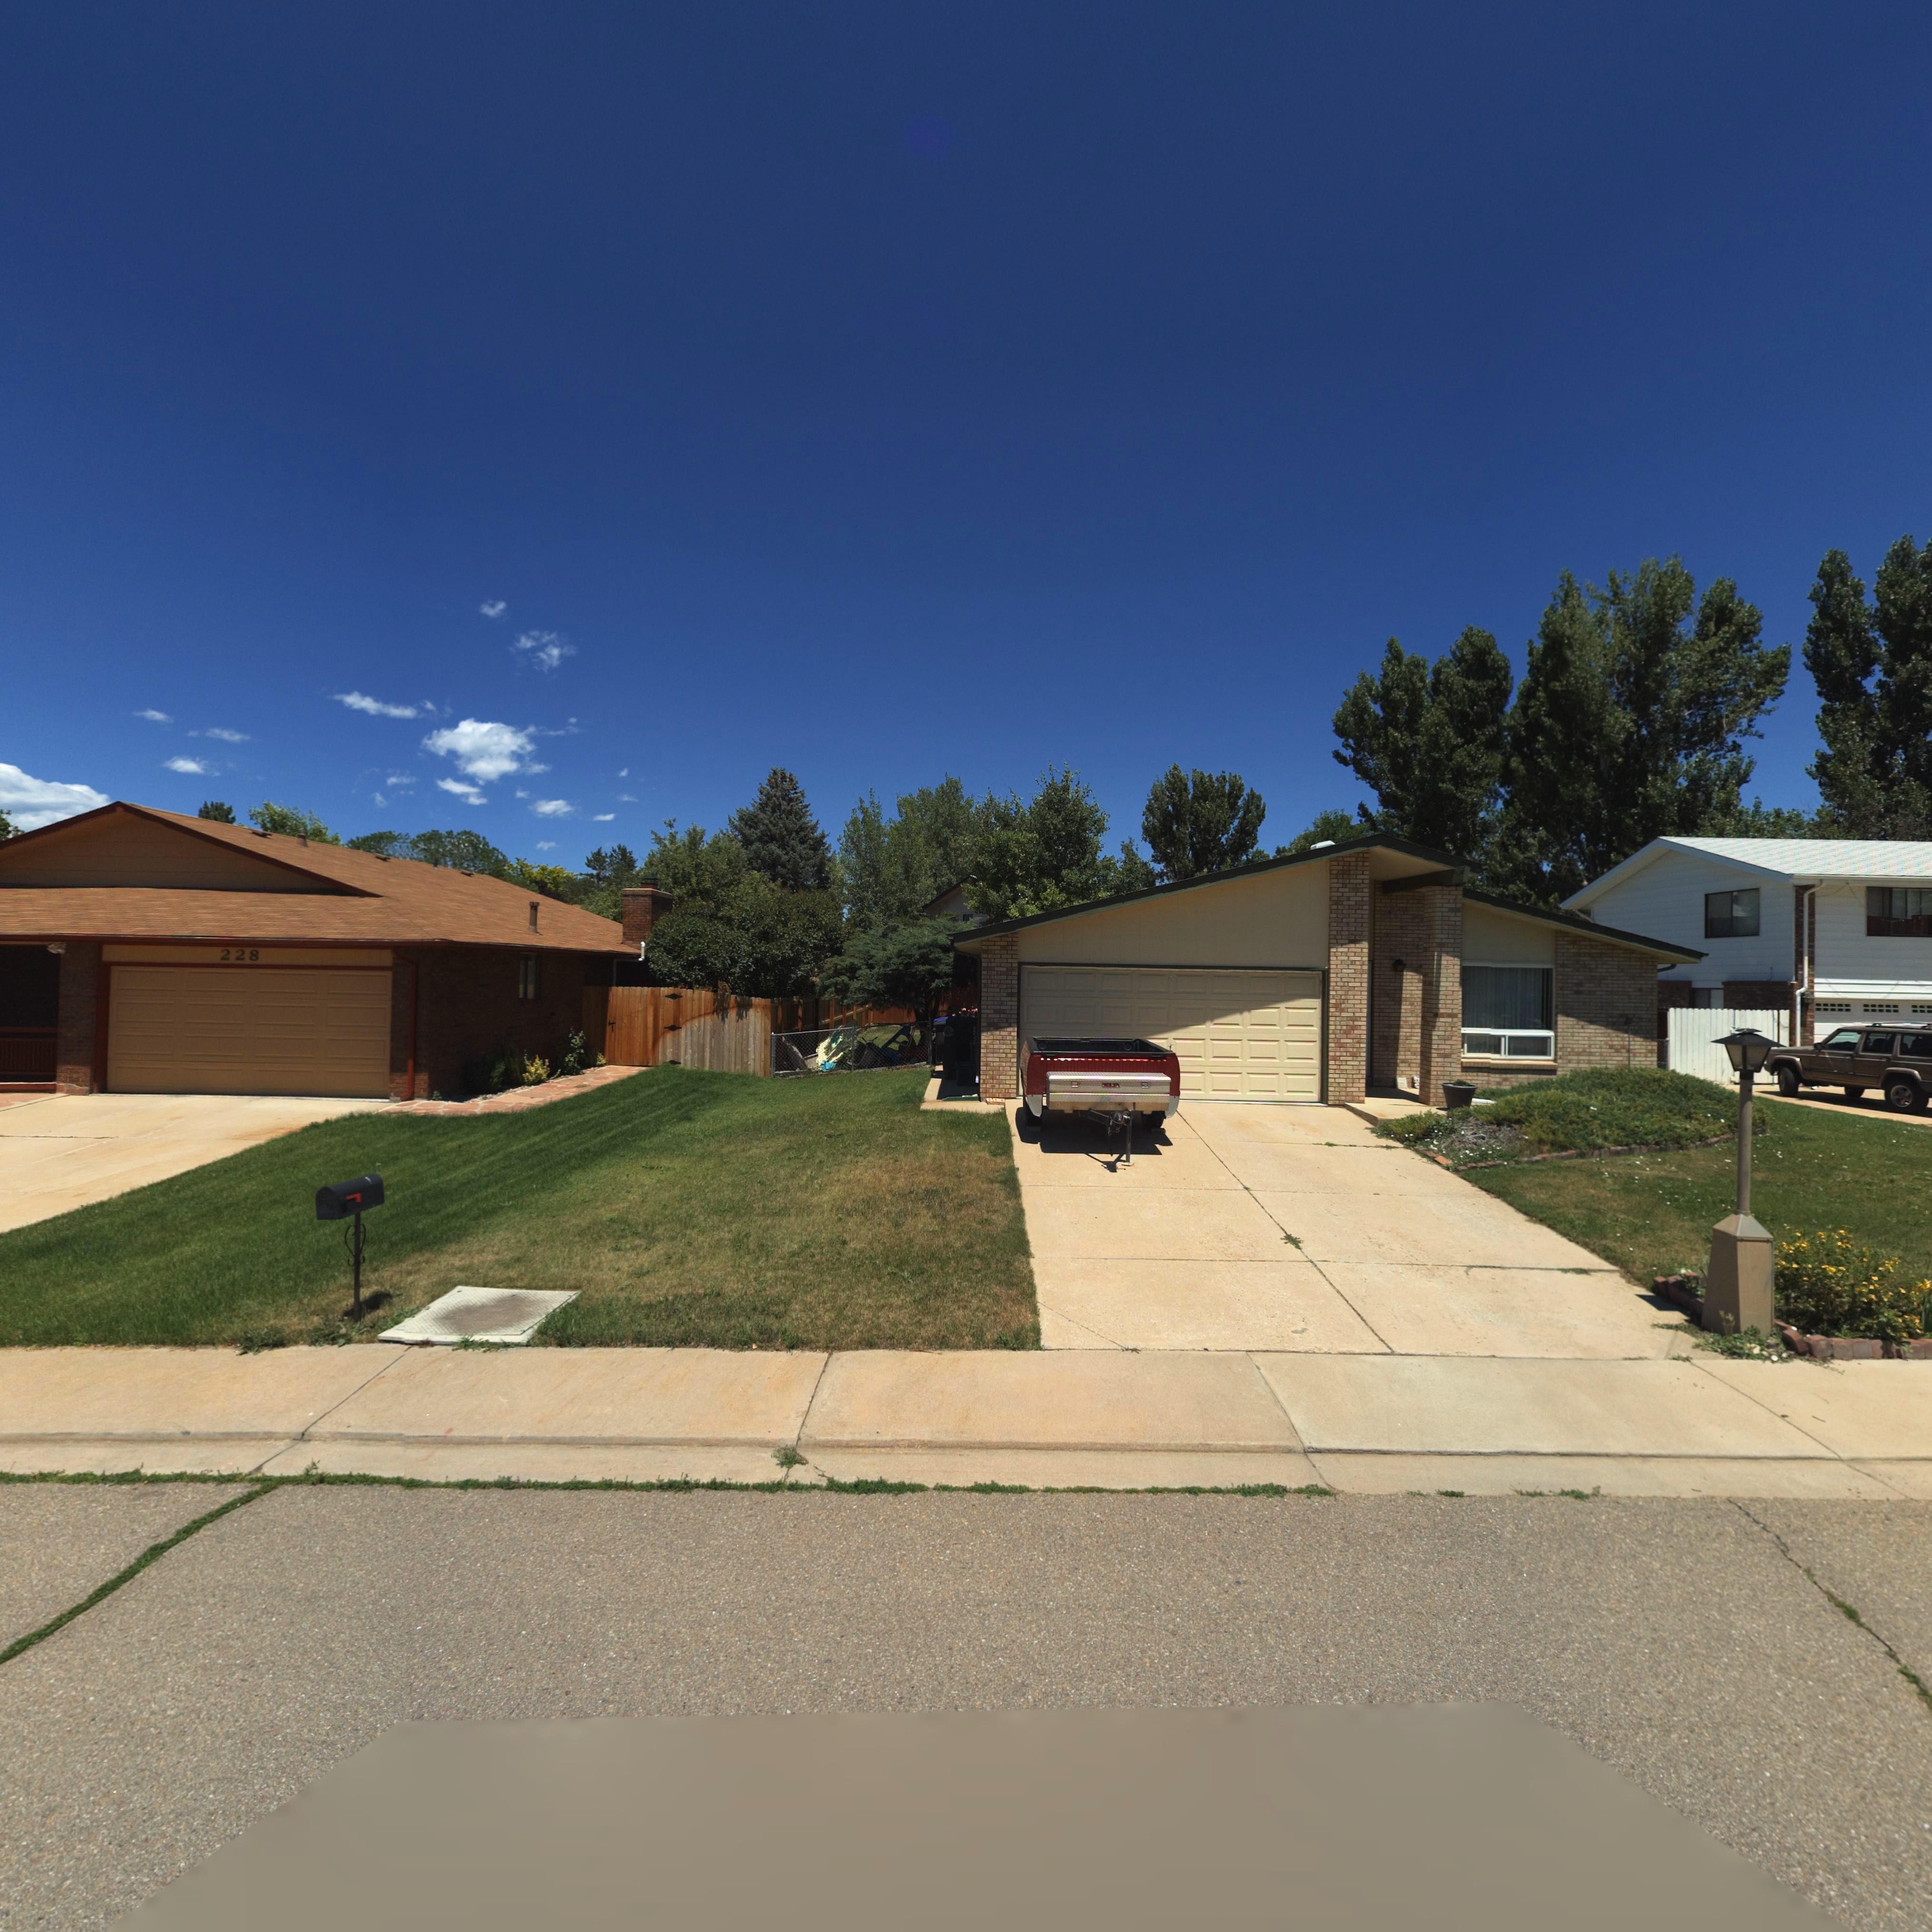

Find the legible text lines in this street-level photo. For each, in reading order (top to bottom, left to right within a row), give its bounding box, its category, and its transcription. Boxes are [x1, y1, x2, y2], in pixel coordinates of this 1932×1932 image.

[220, 948, 259, 961] StreetNumber: 228